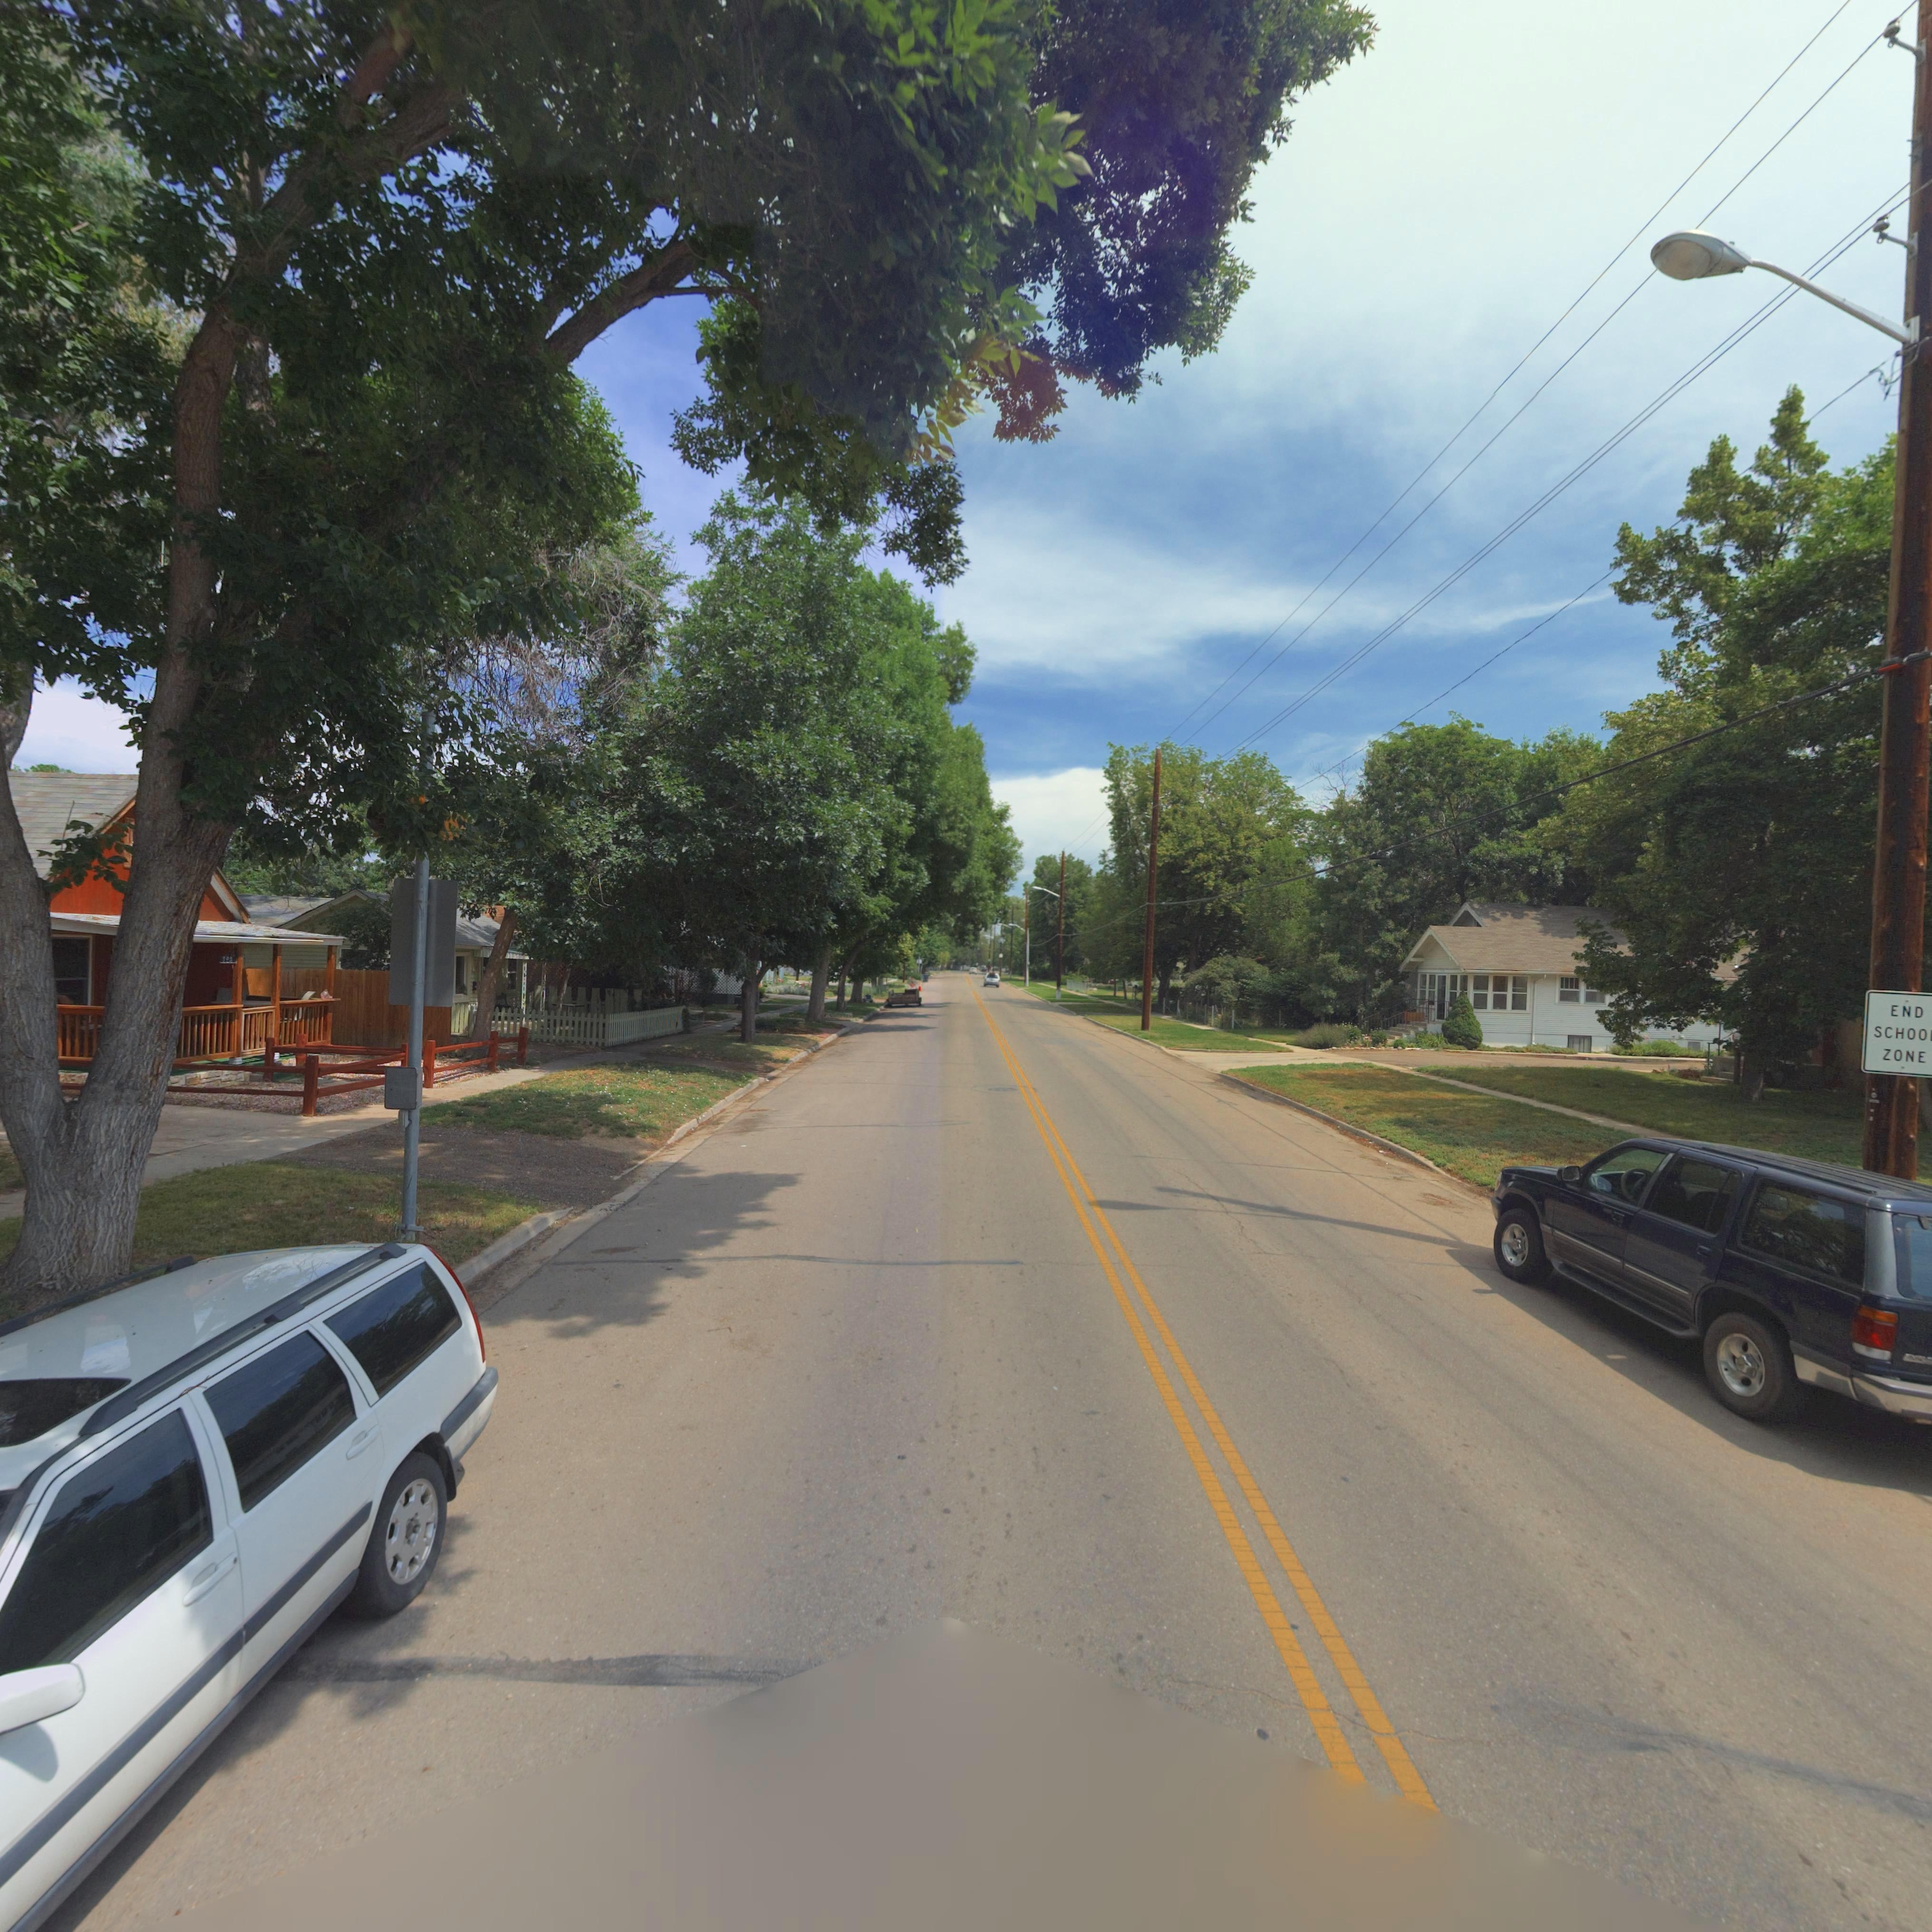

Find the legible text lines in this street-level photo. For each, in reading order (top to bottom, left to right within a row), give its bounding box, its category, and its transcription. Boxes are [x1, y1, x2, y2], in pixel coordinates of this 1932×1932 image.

[222, 956, 232, 963] StreetNumber: 728